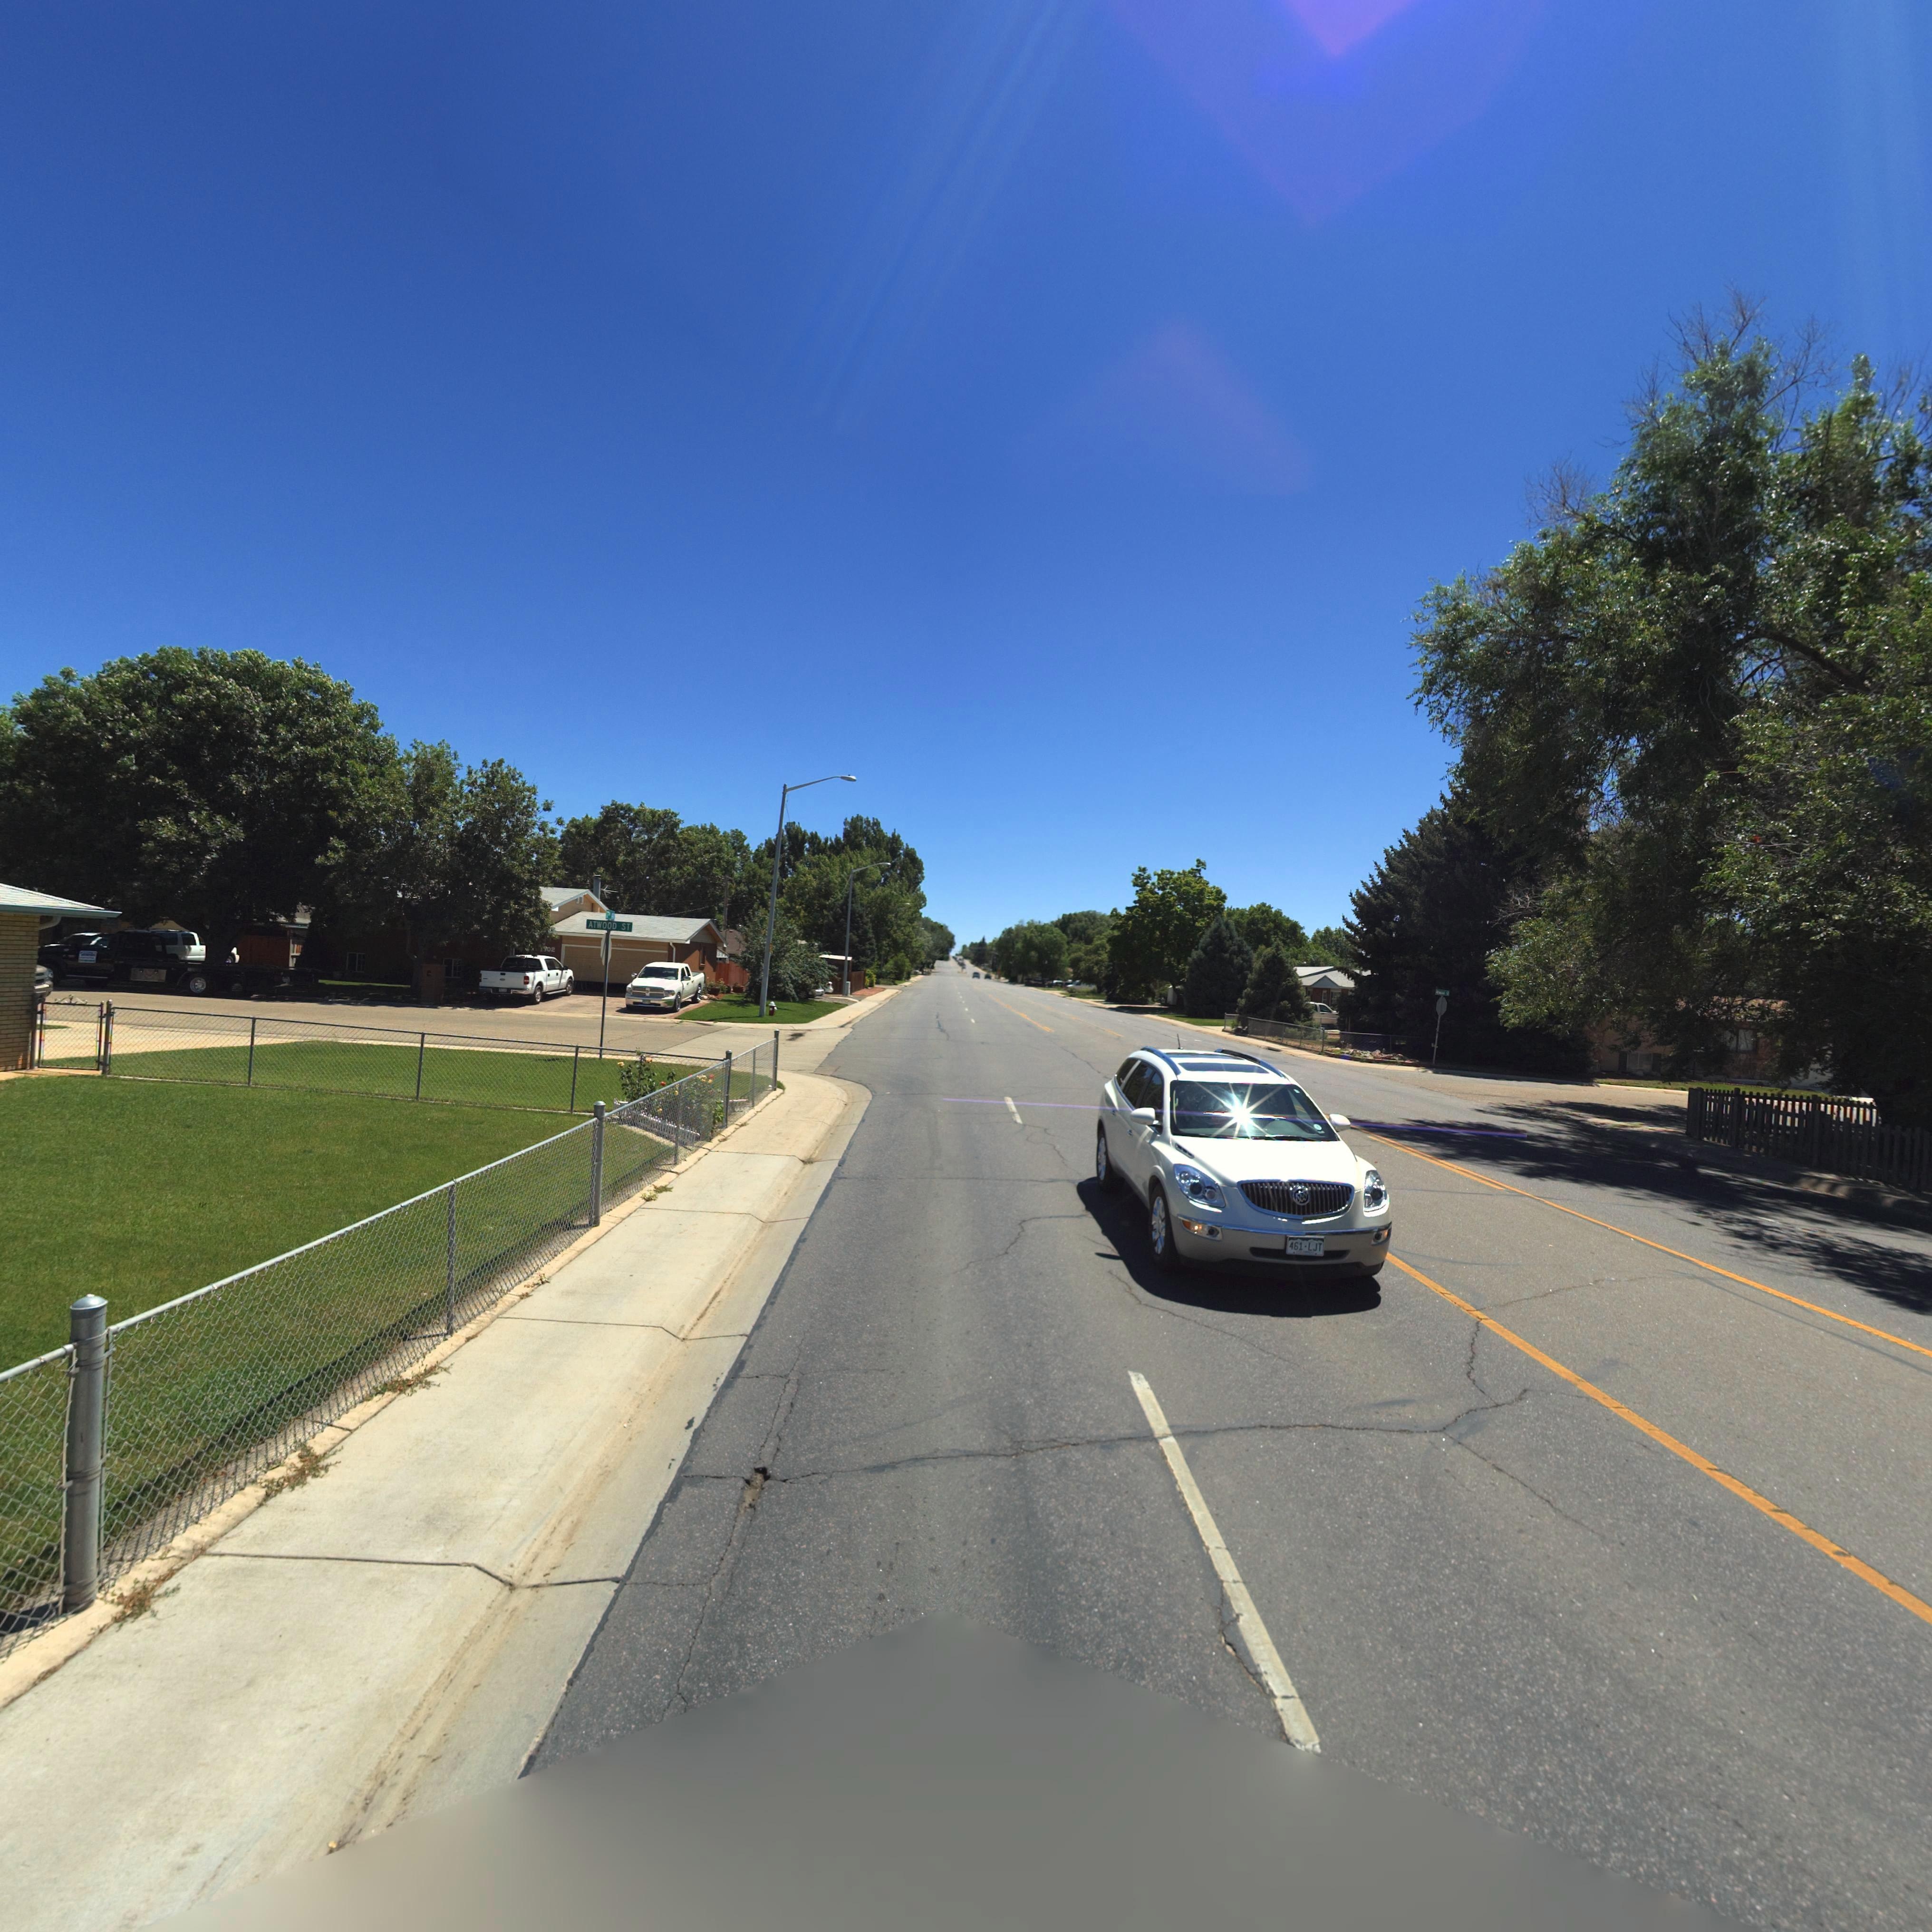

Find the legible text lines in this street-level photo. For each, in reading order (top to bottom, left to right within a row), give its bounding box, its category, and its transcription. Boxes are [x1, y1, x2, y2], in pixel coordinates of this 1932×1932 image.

[587, 920, 630, 930] StreetName: ATWOOD ST
[540, 946, 555, 952] StreetNumber: 1*02